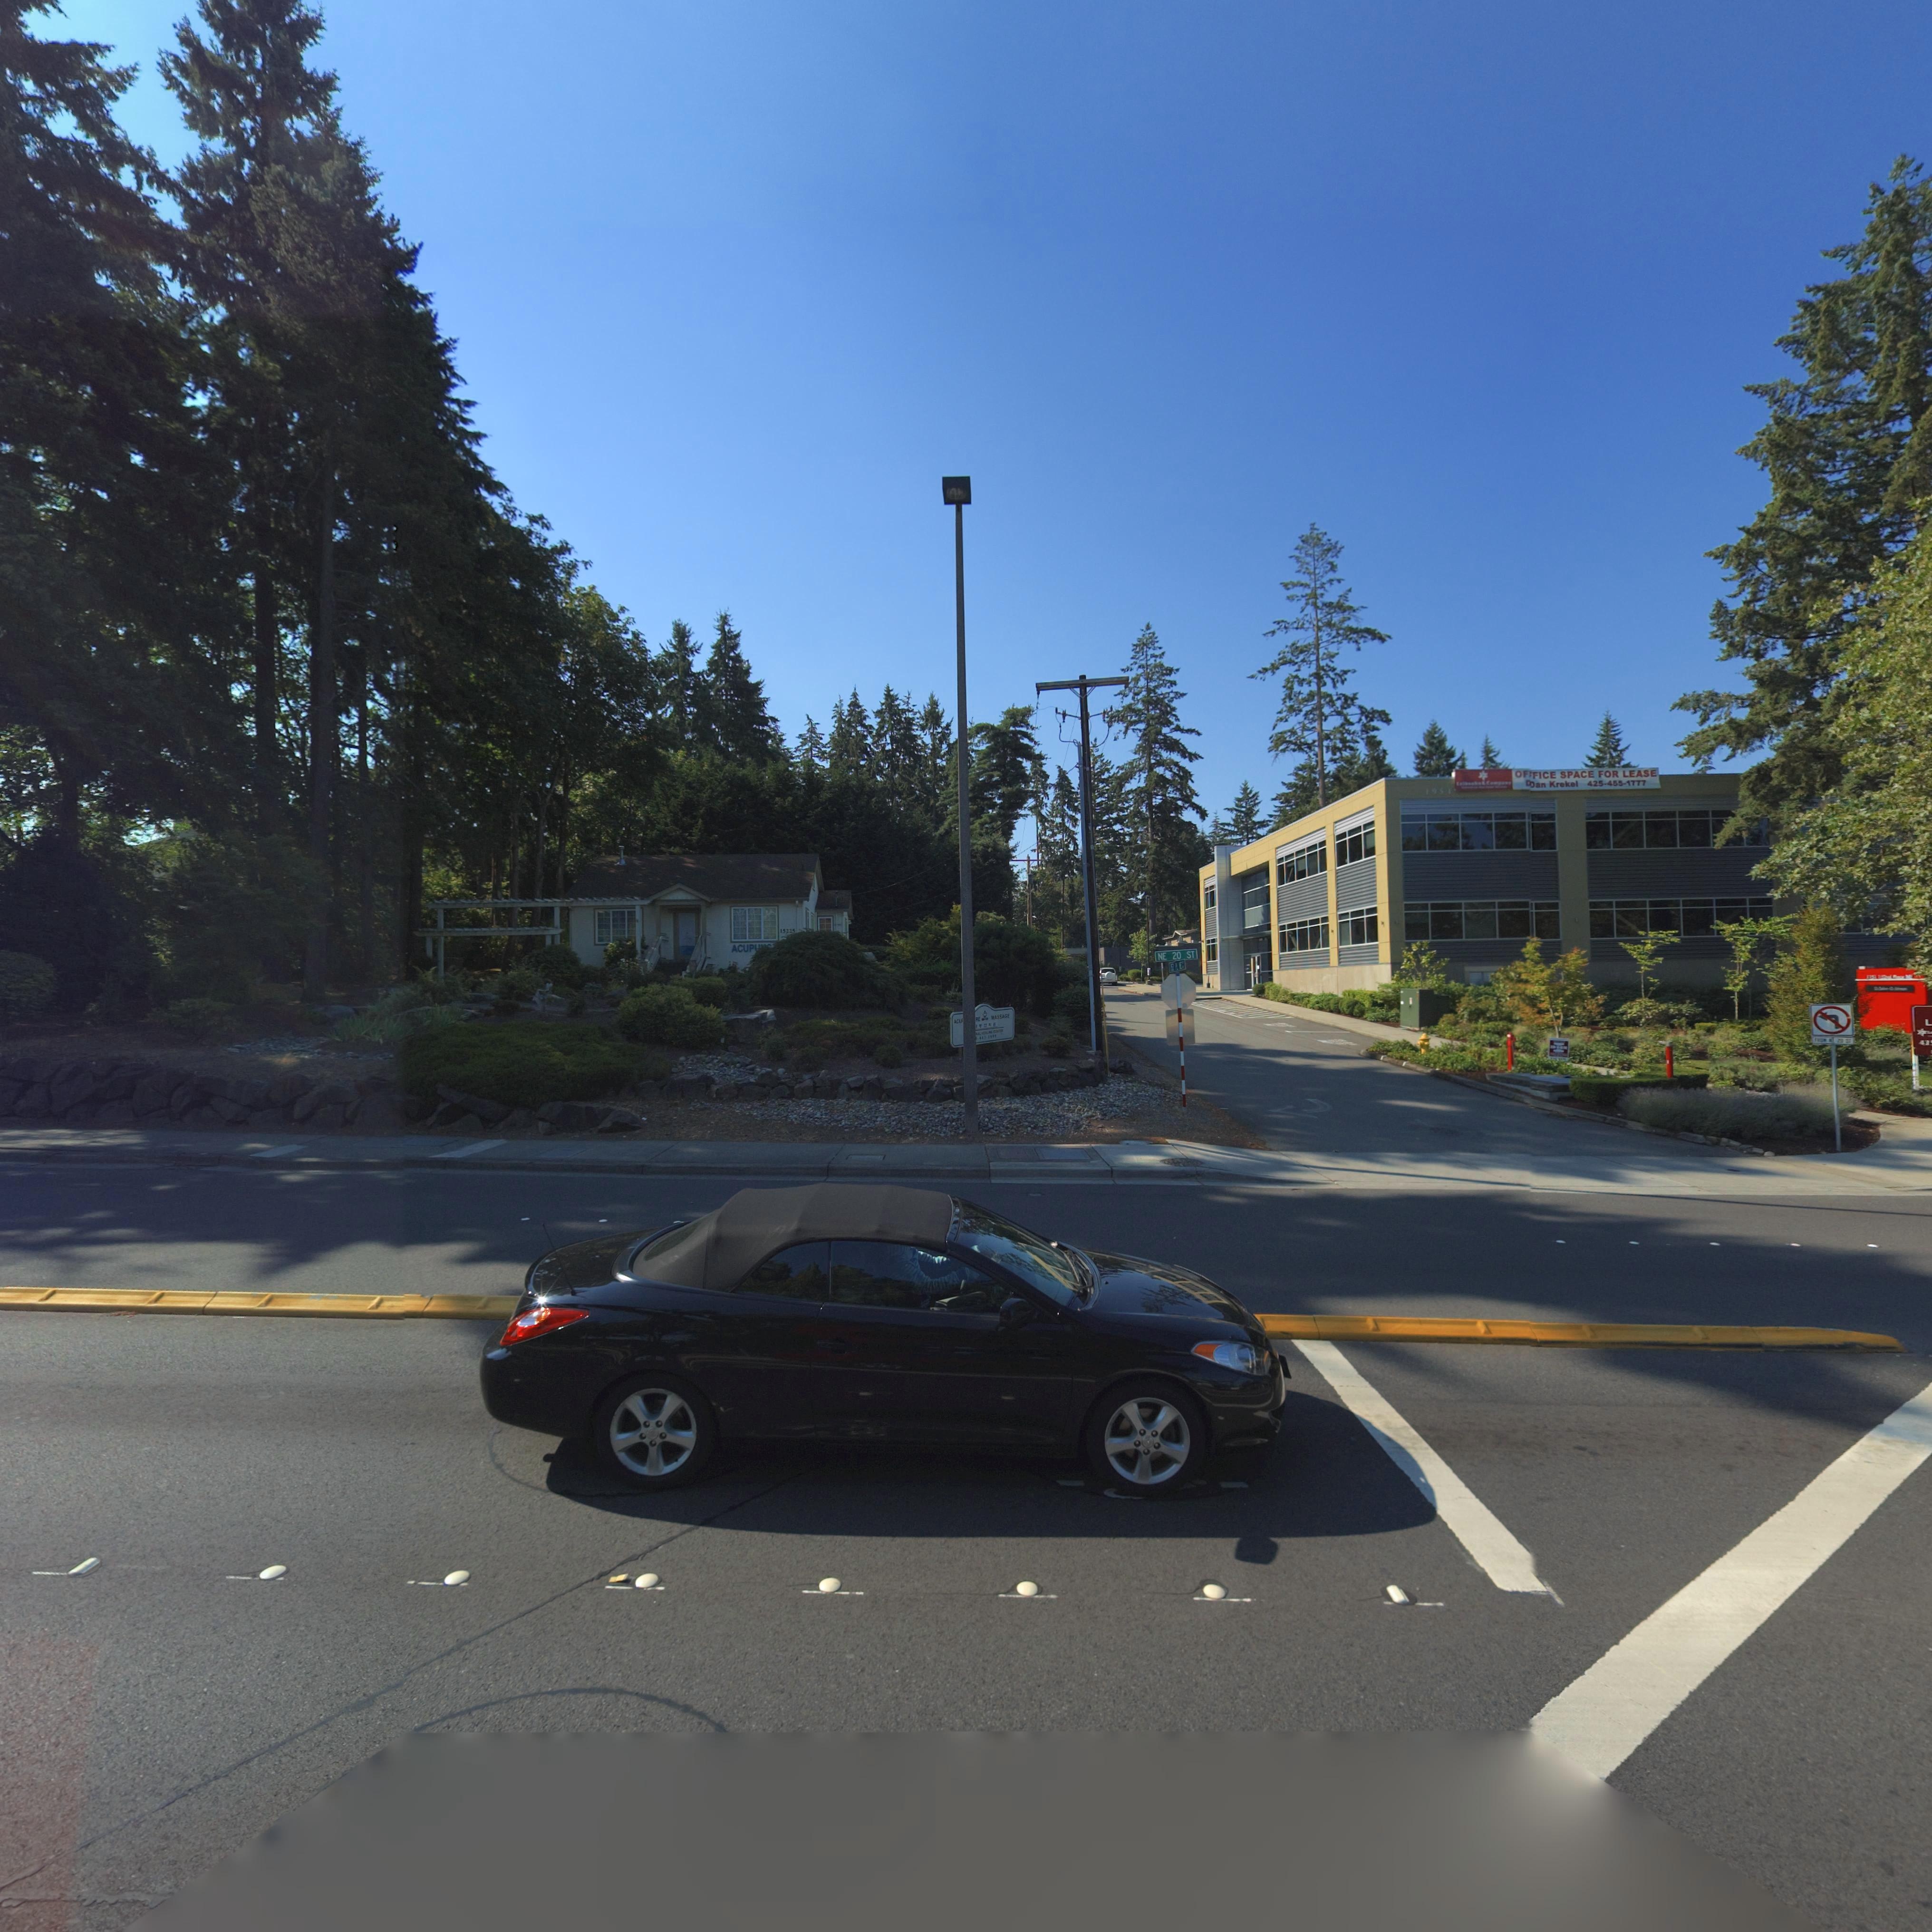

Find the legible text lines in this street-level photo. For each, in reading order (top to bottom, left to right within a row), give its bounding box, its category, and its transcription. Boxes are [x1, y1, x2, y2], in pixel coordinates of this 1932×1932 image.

[1425, 787, 1451, 795] None: 1951
[780, 928, 795, 933] StreetNumber: 1522*
[731, 944, 754, 952] BusinessName: ACUP
[1158, 950, 1194, 960] StreetName: NE 20 ST
[991, 1013, 1010, 1019] BusinessName: MASSAGE